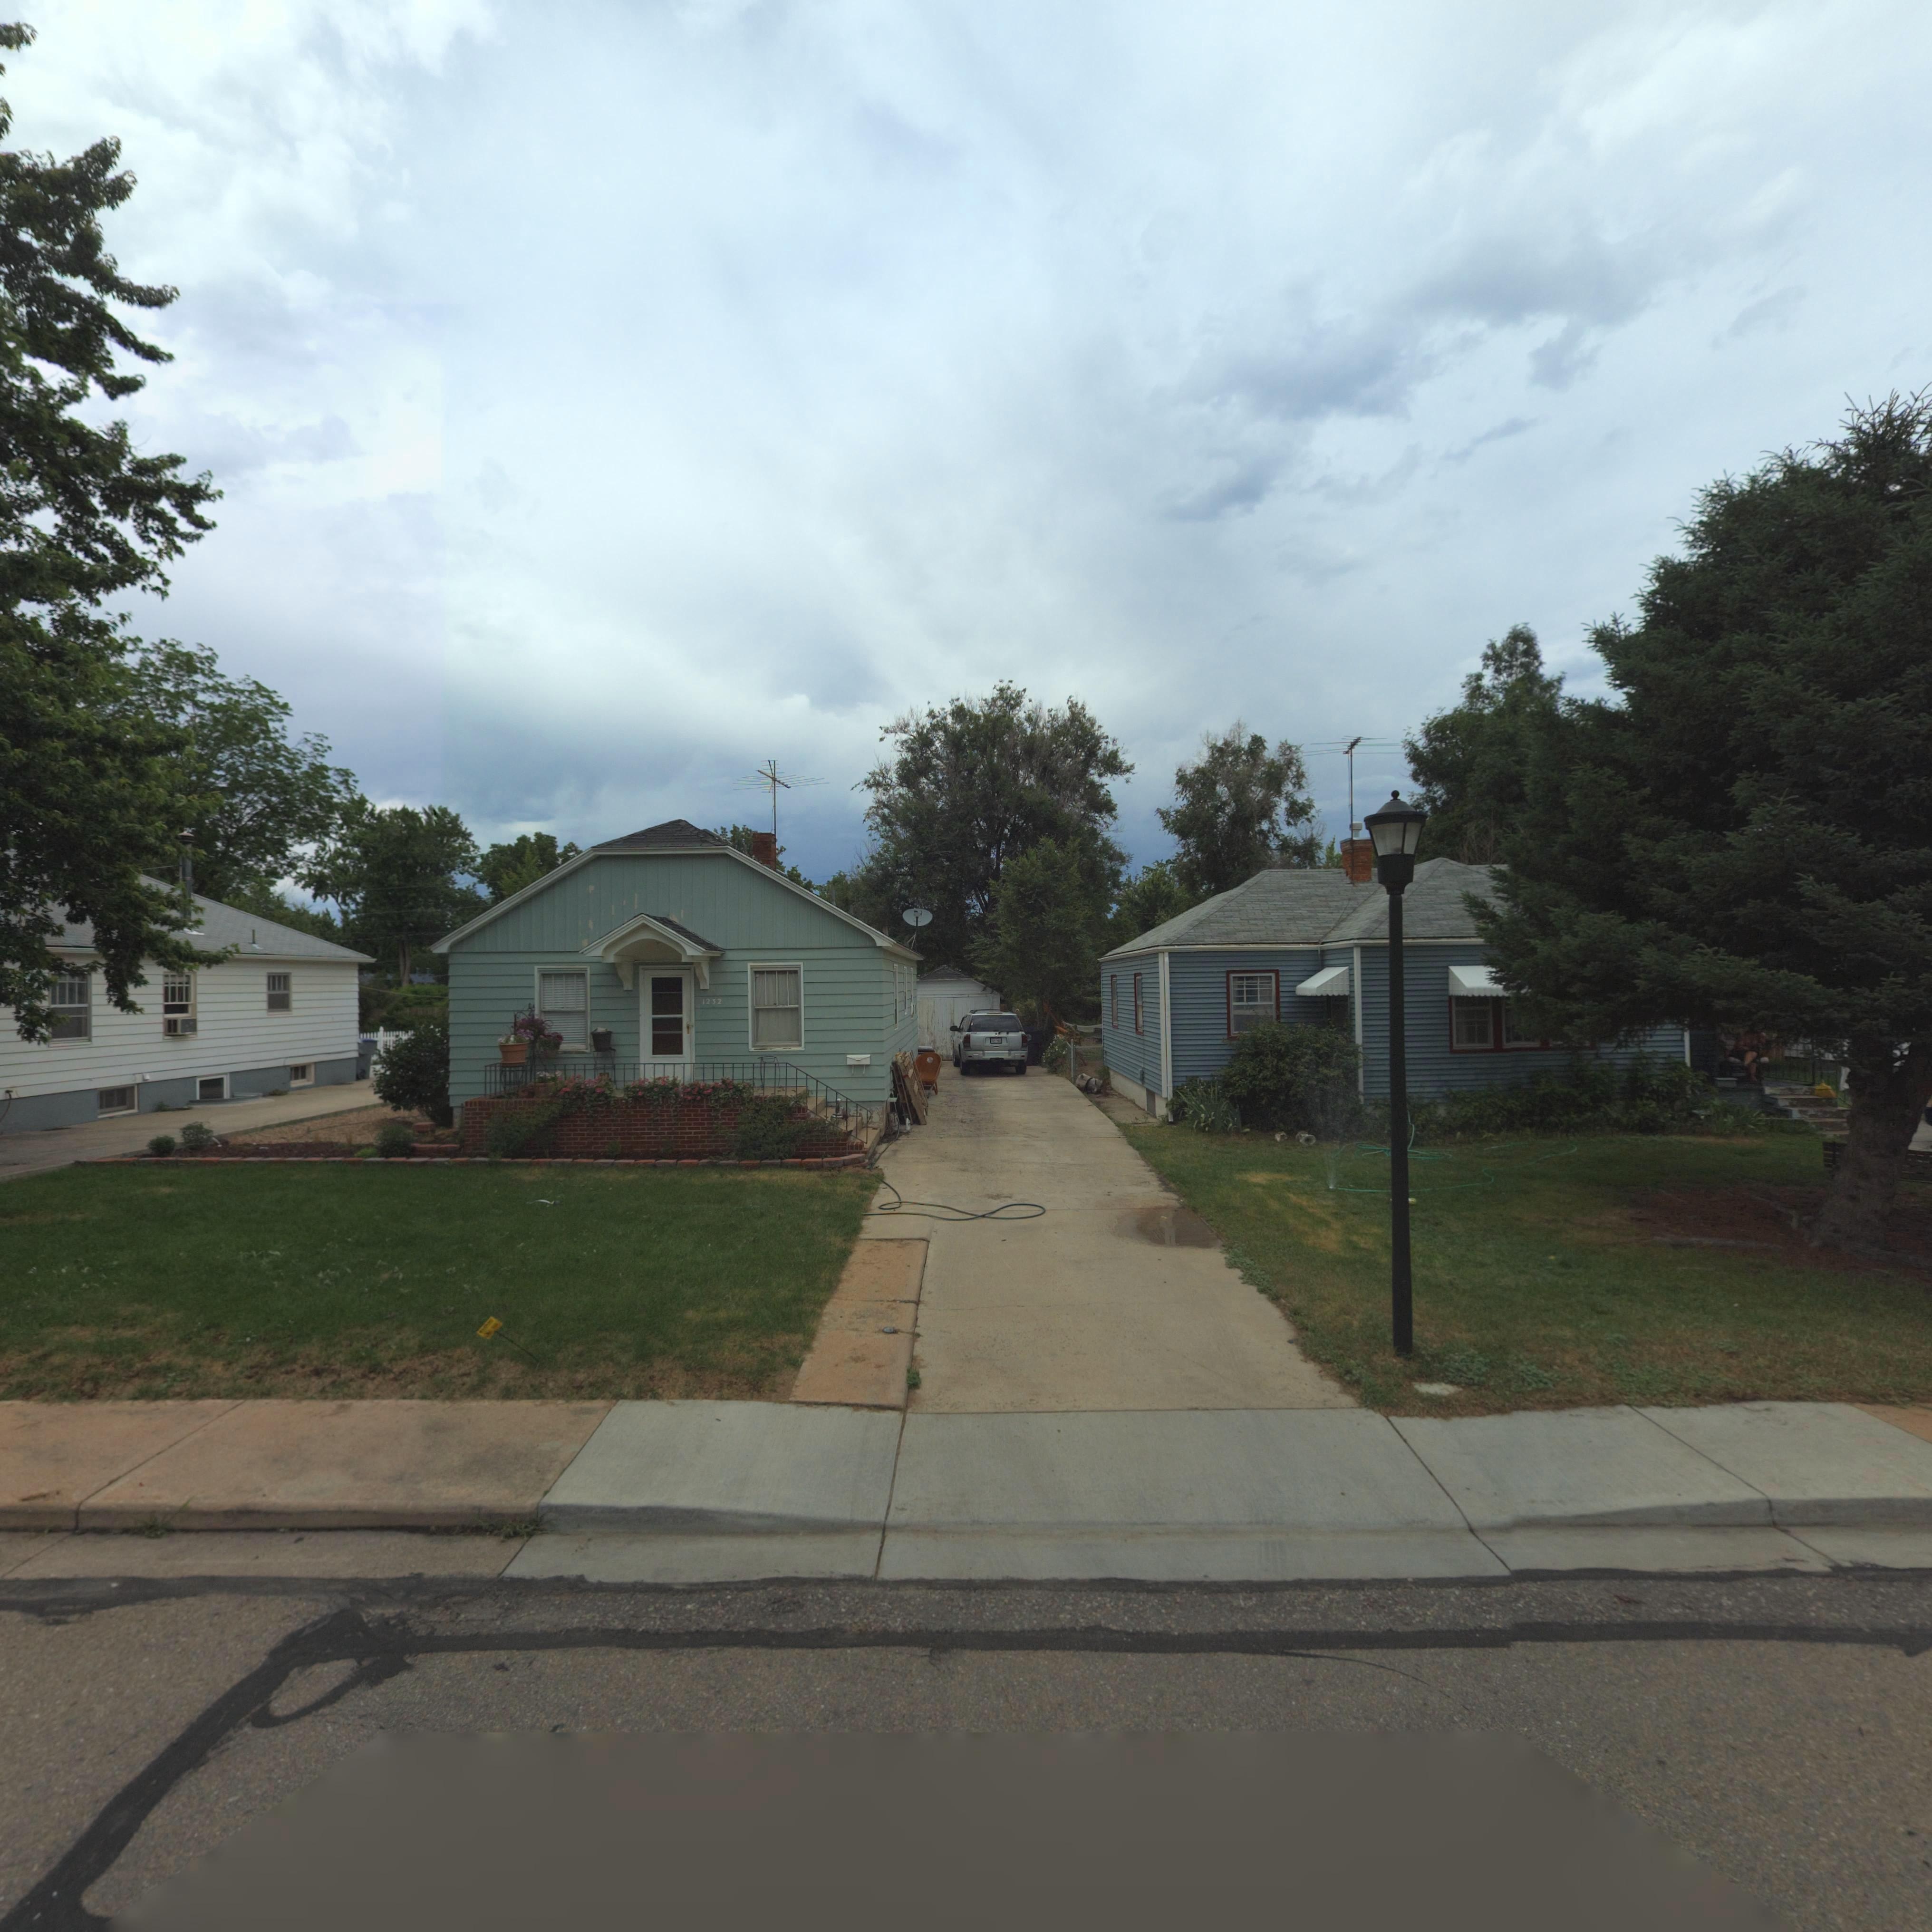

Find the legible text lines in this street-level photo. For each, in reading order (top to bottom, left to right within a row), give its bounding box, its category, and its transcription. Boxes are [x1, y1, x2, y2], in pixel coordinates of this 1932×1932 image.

[703, 998, 722, 1005] StreetNumber: 1232